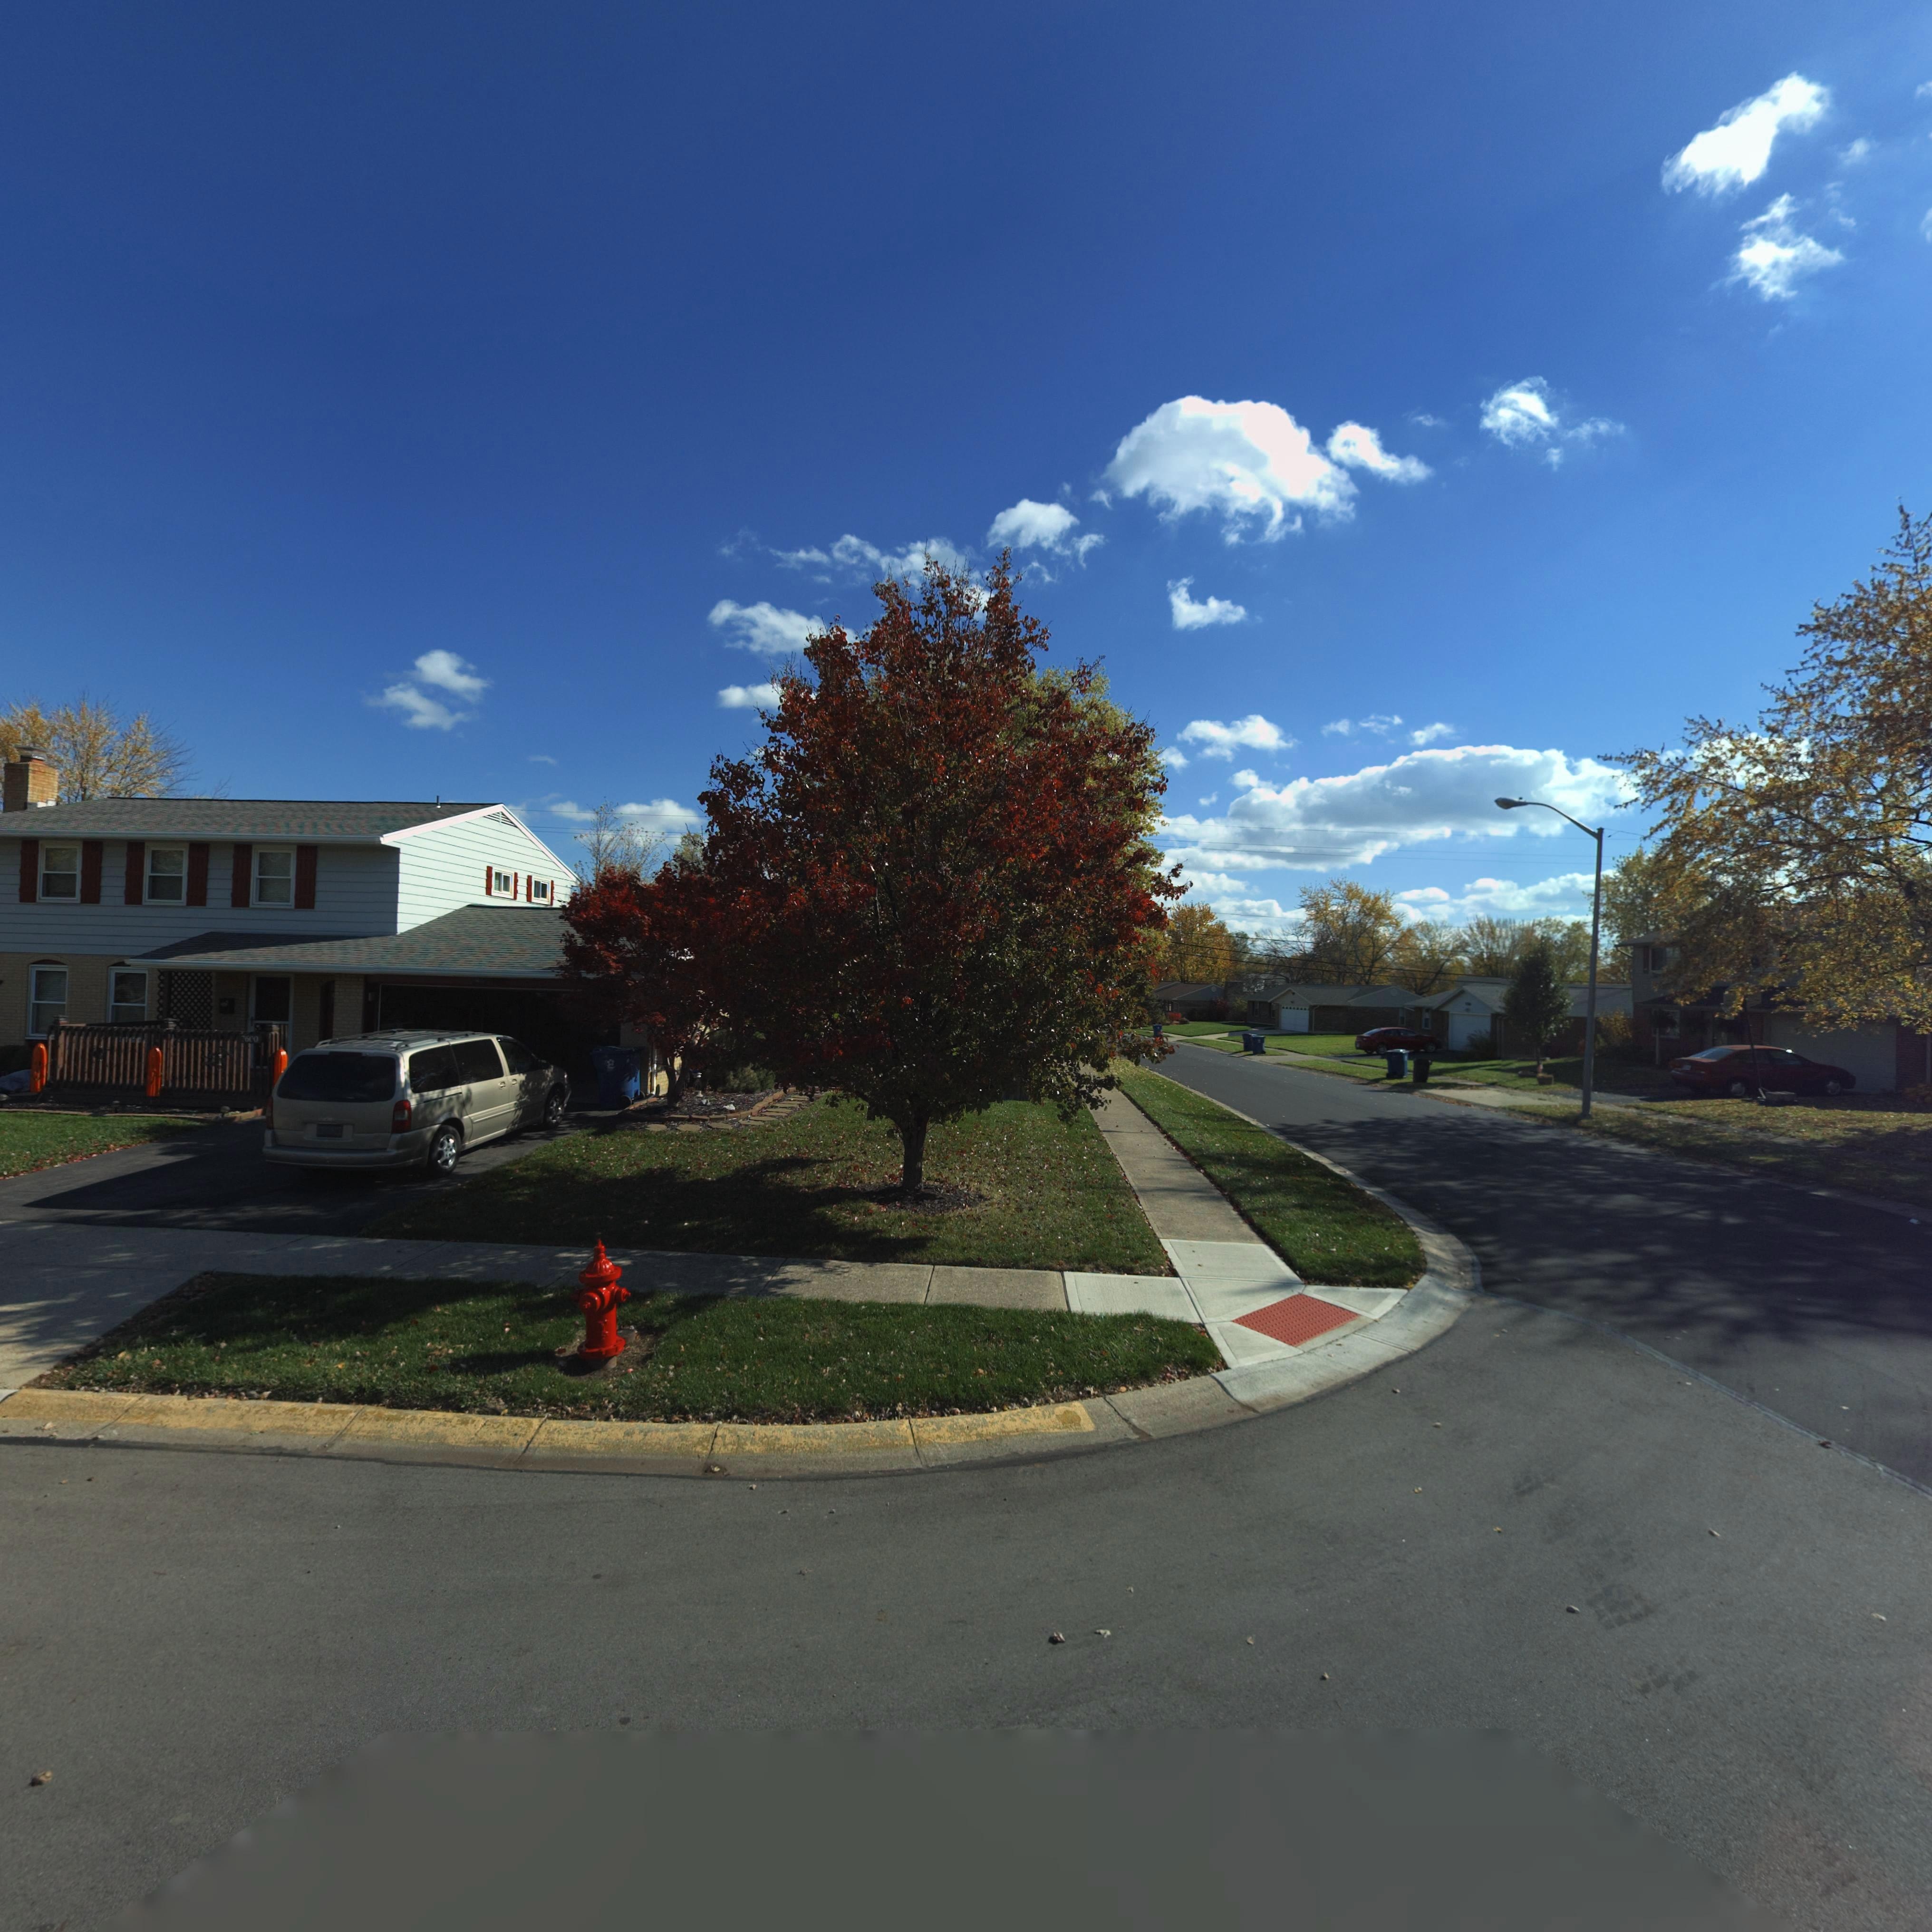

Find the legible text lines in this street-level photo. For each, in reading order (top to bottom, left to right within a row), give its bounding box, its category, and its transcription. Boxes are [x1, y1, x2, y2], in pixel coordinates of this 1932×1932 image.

[239, 1034, 261, 1044] StreetNumber: 76*0